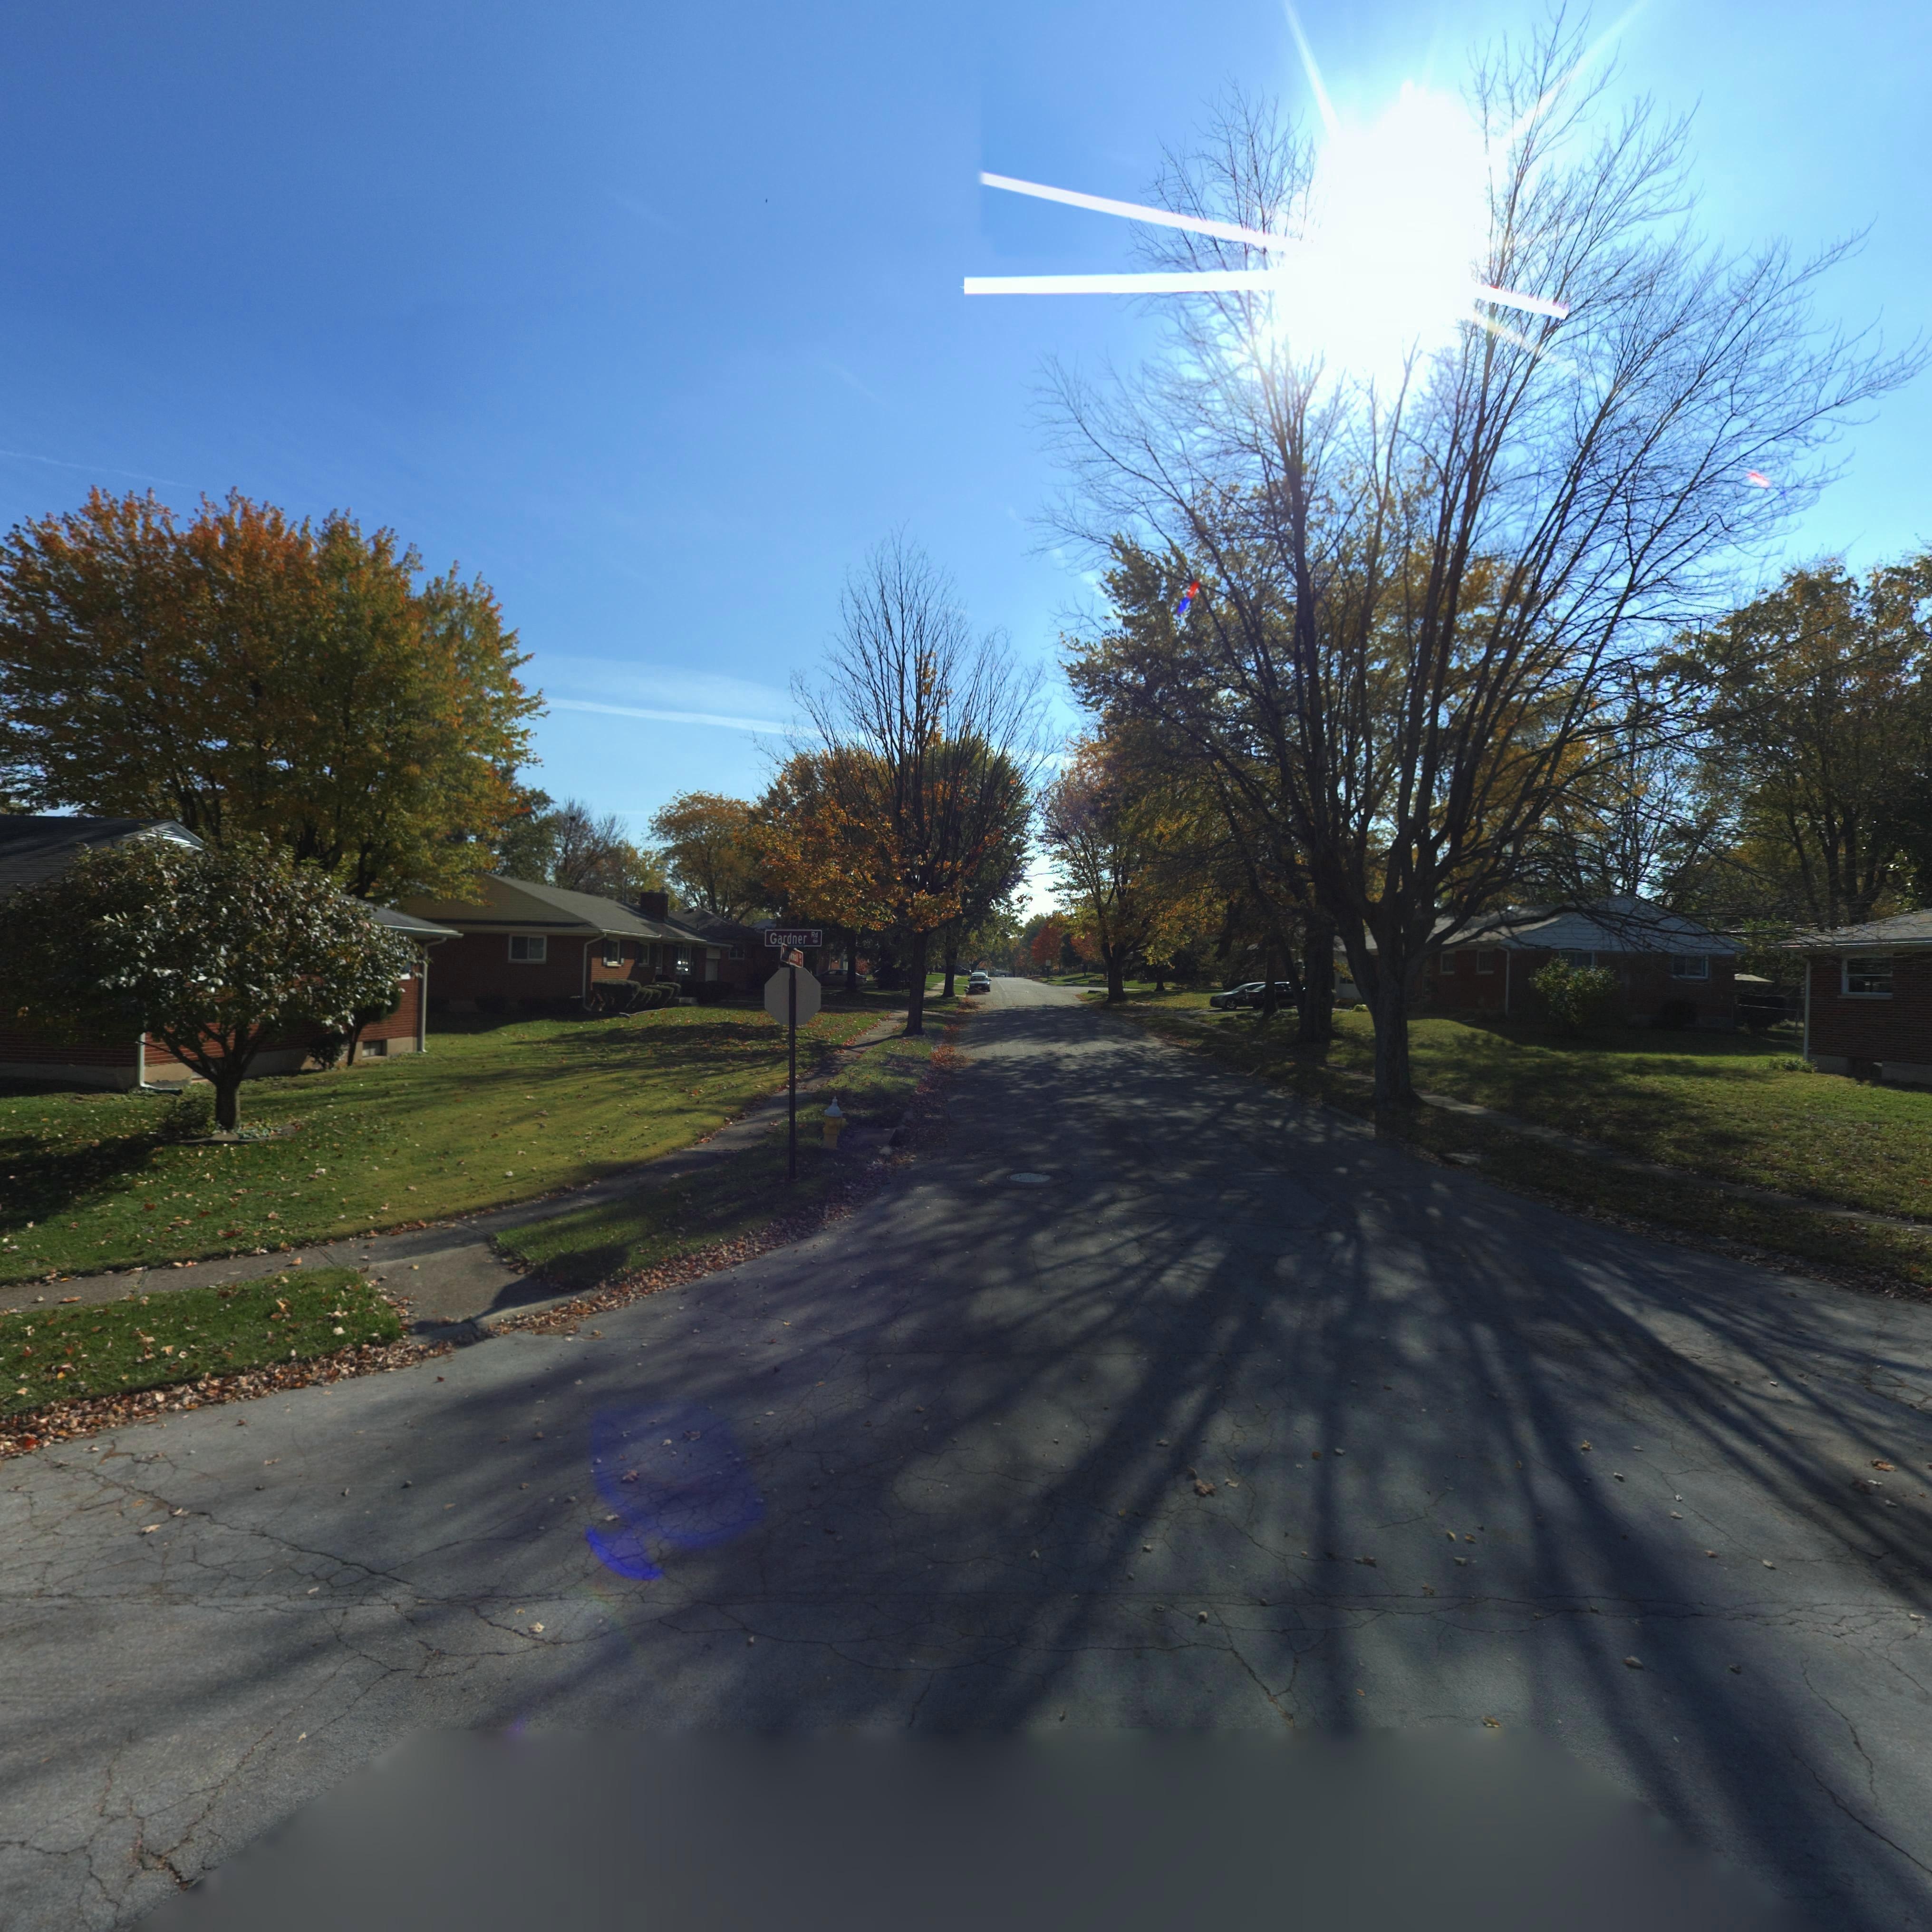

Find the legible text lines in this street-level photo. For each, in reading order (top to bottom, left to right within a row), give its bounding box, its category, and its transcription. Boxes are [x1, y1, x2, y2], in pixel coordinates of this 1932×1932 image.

[769, 931, 818, 945] StreetName: Gardner Rd